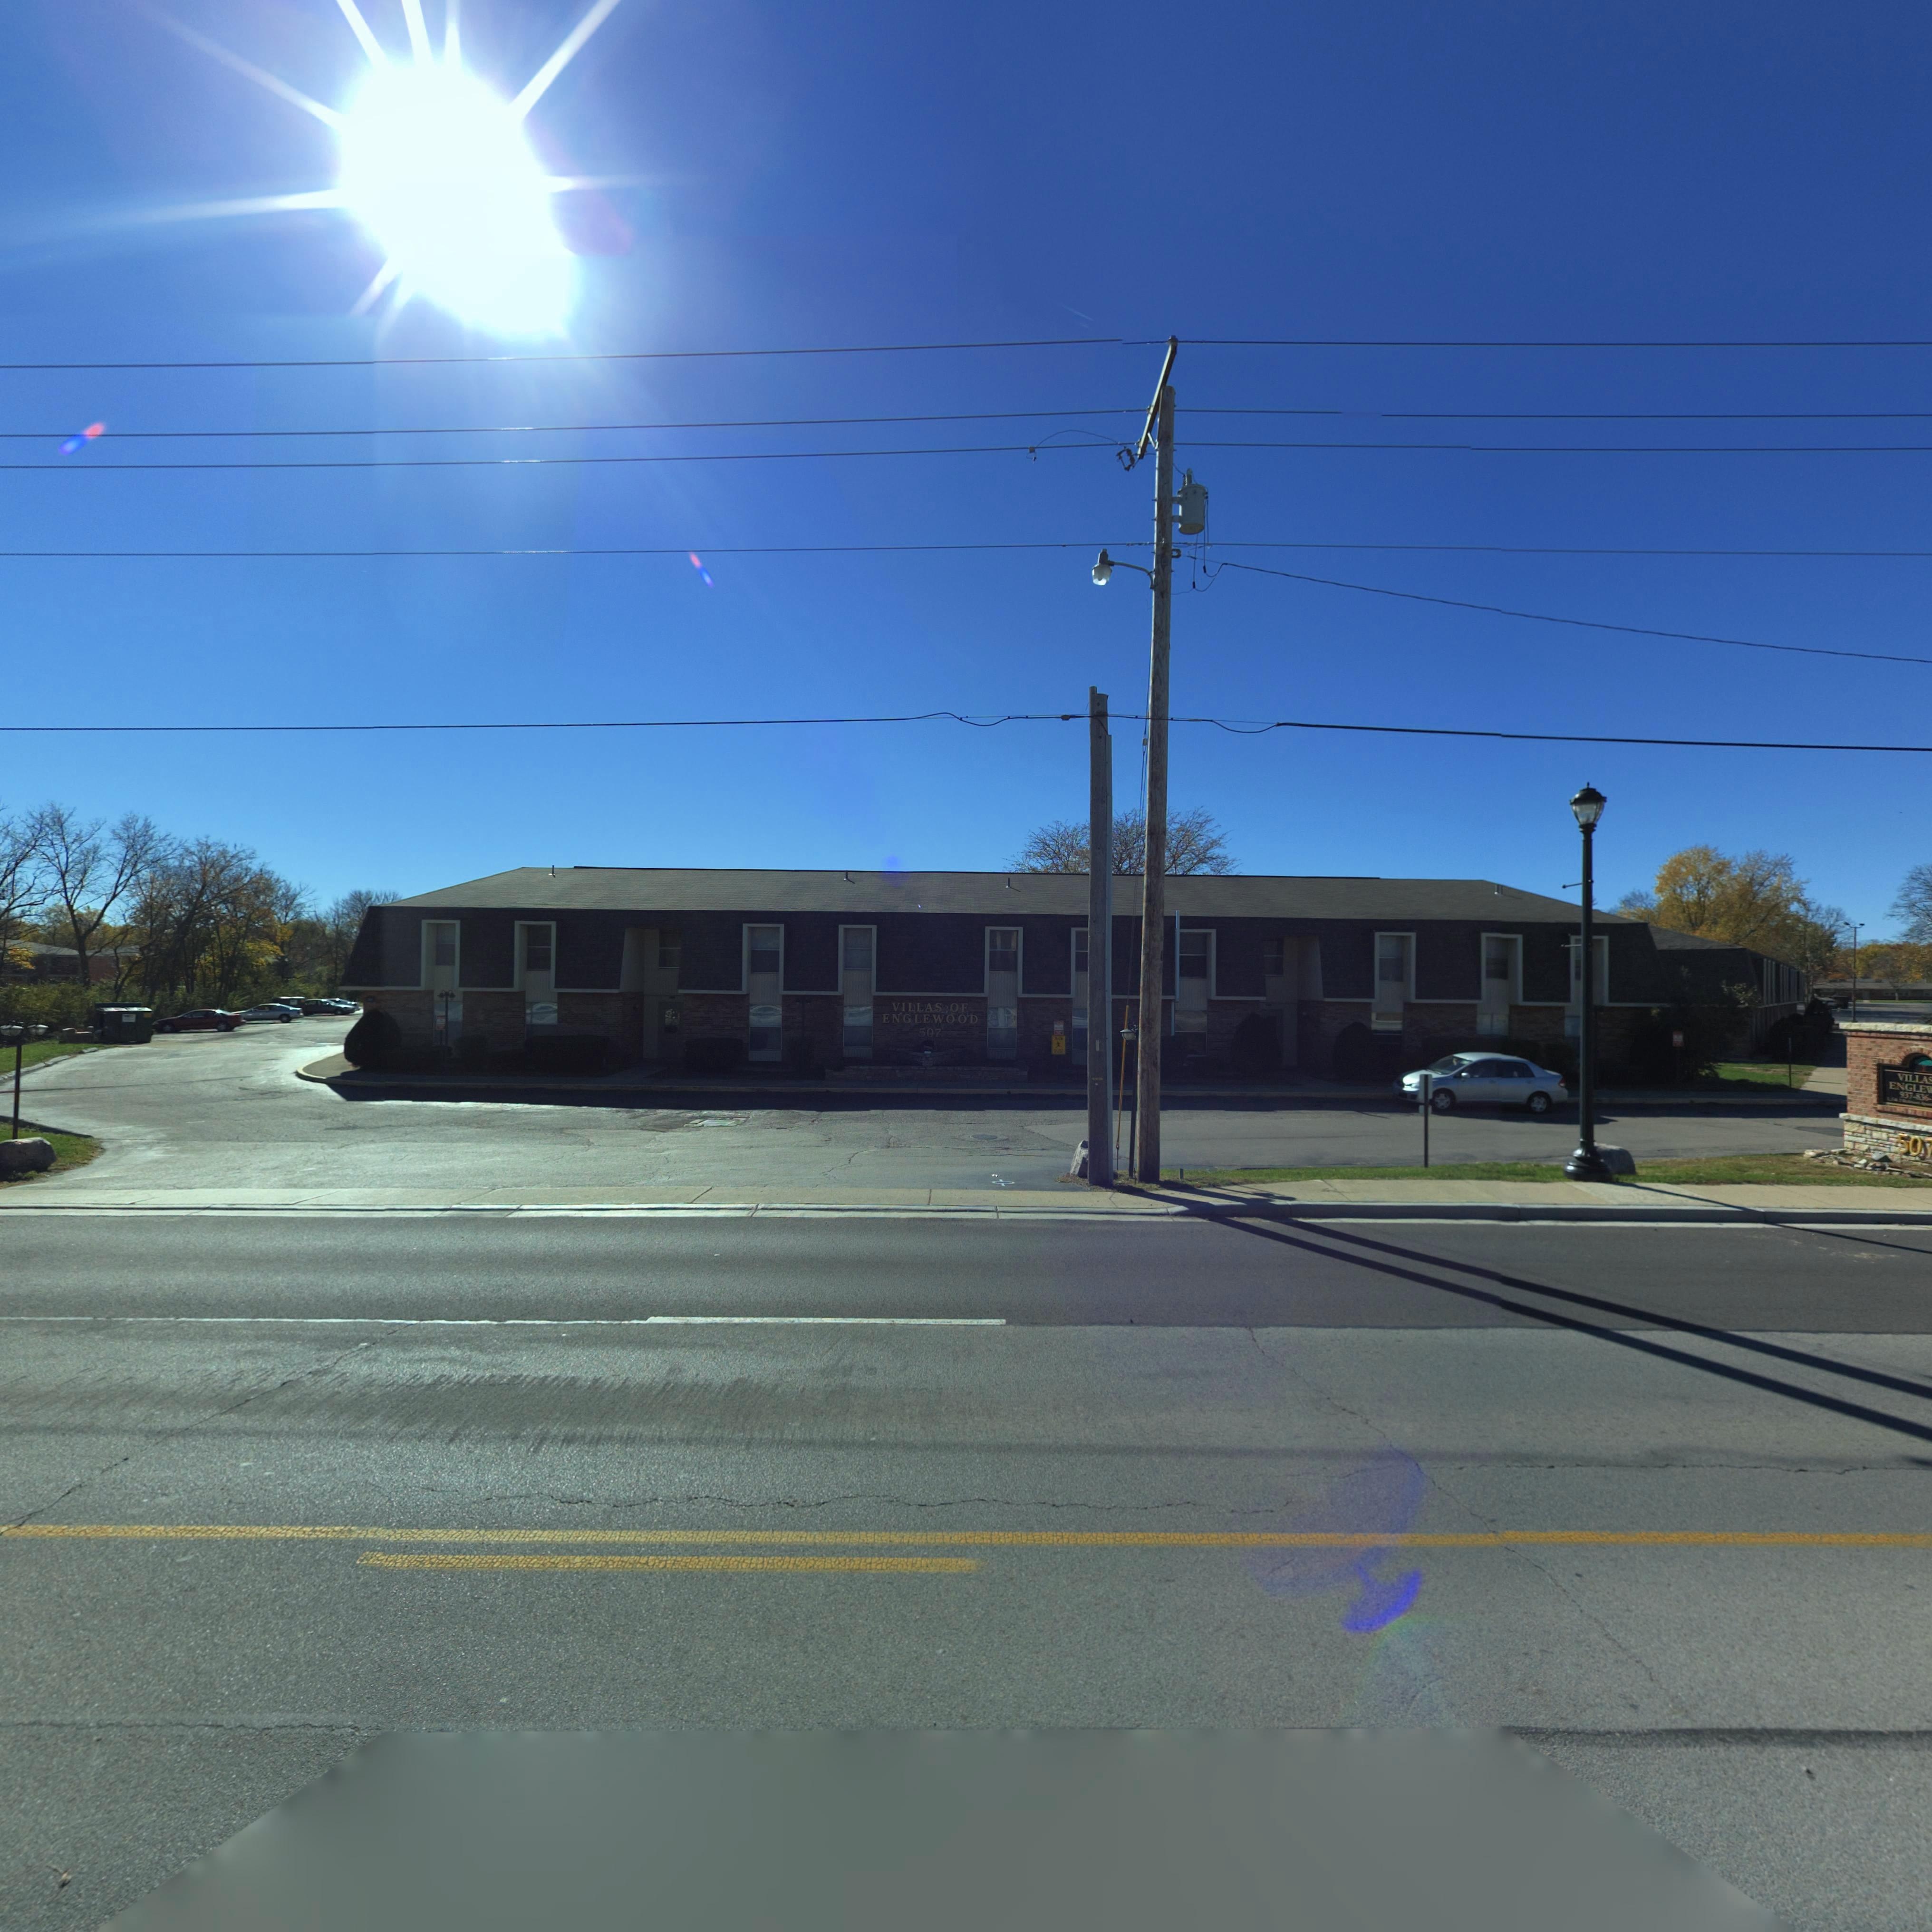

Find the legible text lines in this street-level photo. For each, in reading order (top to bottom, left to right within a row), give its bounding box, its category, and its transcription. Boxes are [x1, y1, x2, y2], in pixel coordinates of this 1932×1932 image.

[890, 1001, 969, 1014] BusinessName: VILLAS OF
[881, 1013, 979, 1025] BusinessName: ENGLEWOOD
[917, 1027, 943, 1040] StreetNumber: 507
[1053, 1036, 1064, 1041] None: SLOW
[1896, 1072, 1930, 1085] BusinessName: VILLA
[1888, 1081, 1927, 1094] BusinessName: ENGLE
[1898, 1091, 1930, 1102] None: 937-836
[1897, 1133, 1924, 1159] StreetNumber: 50